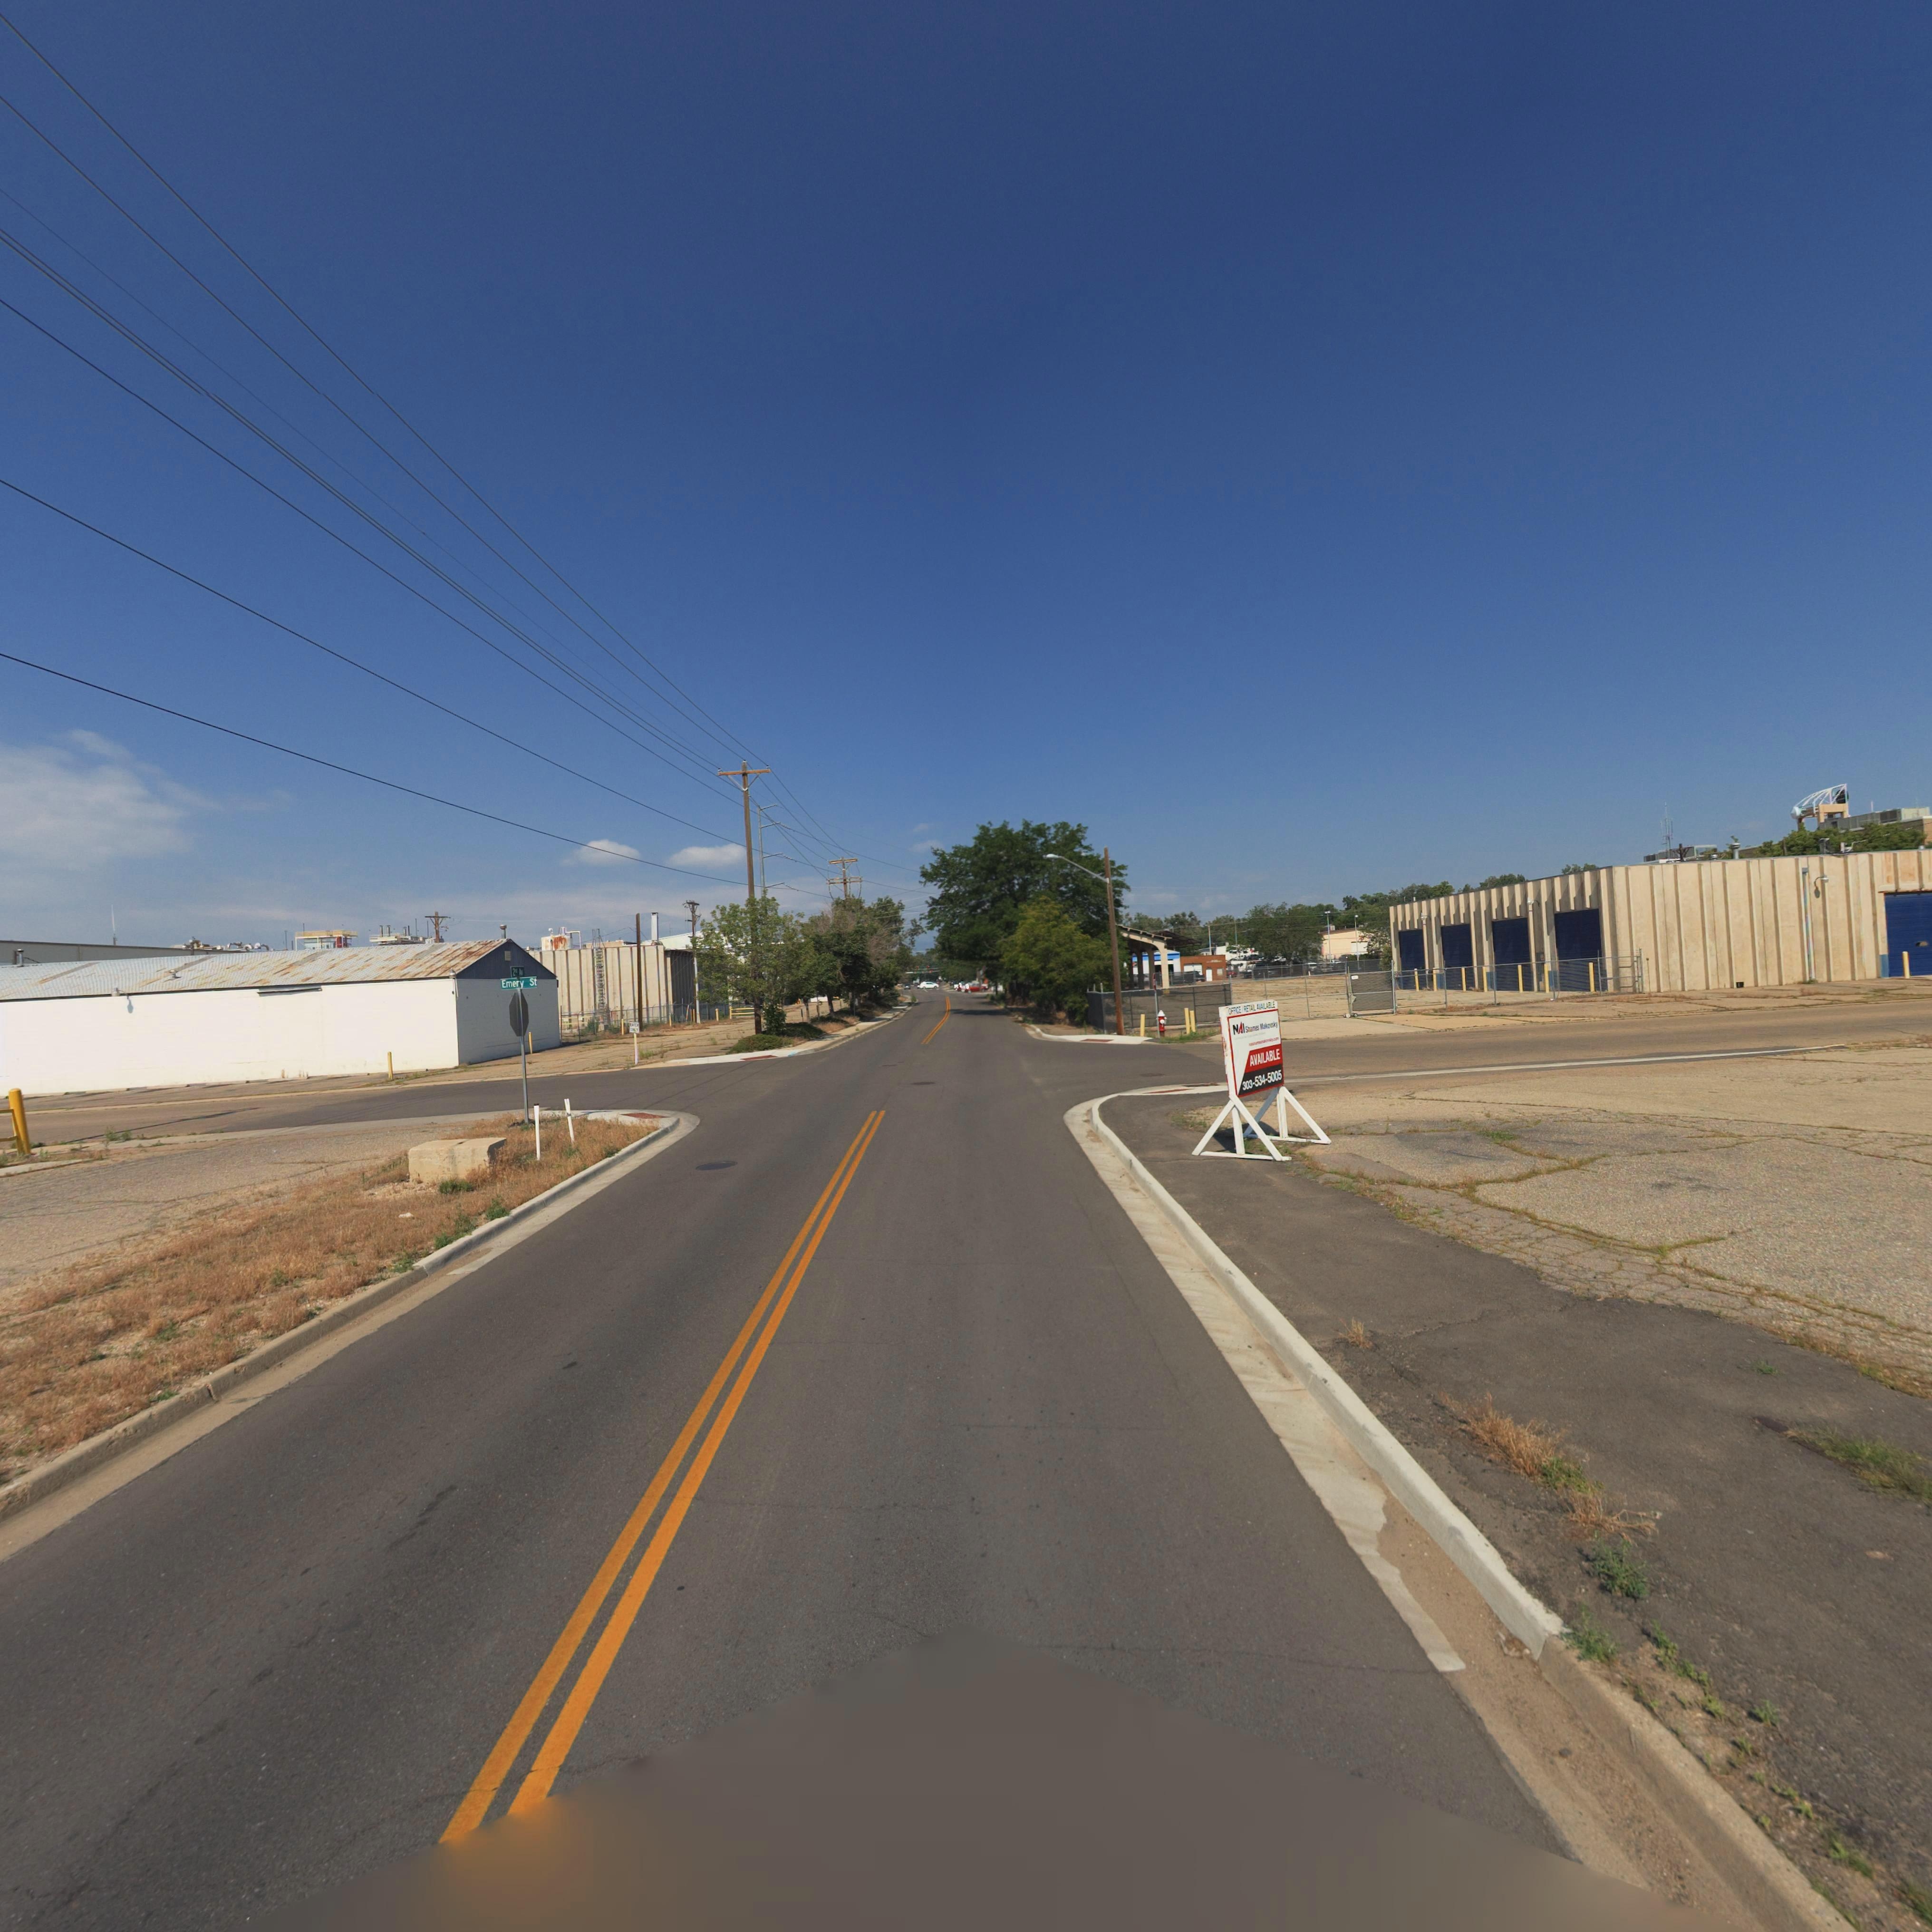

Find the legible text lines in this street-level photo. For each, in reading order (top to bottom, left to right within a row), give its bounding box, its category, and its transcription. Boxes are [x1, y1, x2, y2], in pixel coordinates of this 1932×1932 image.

[512, 967, 523, 976] StreetName: 2*d Av
[501, 978, 537, 988] StreetName: Emery St